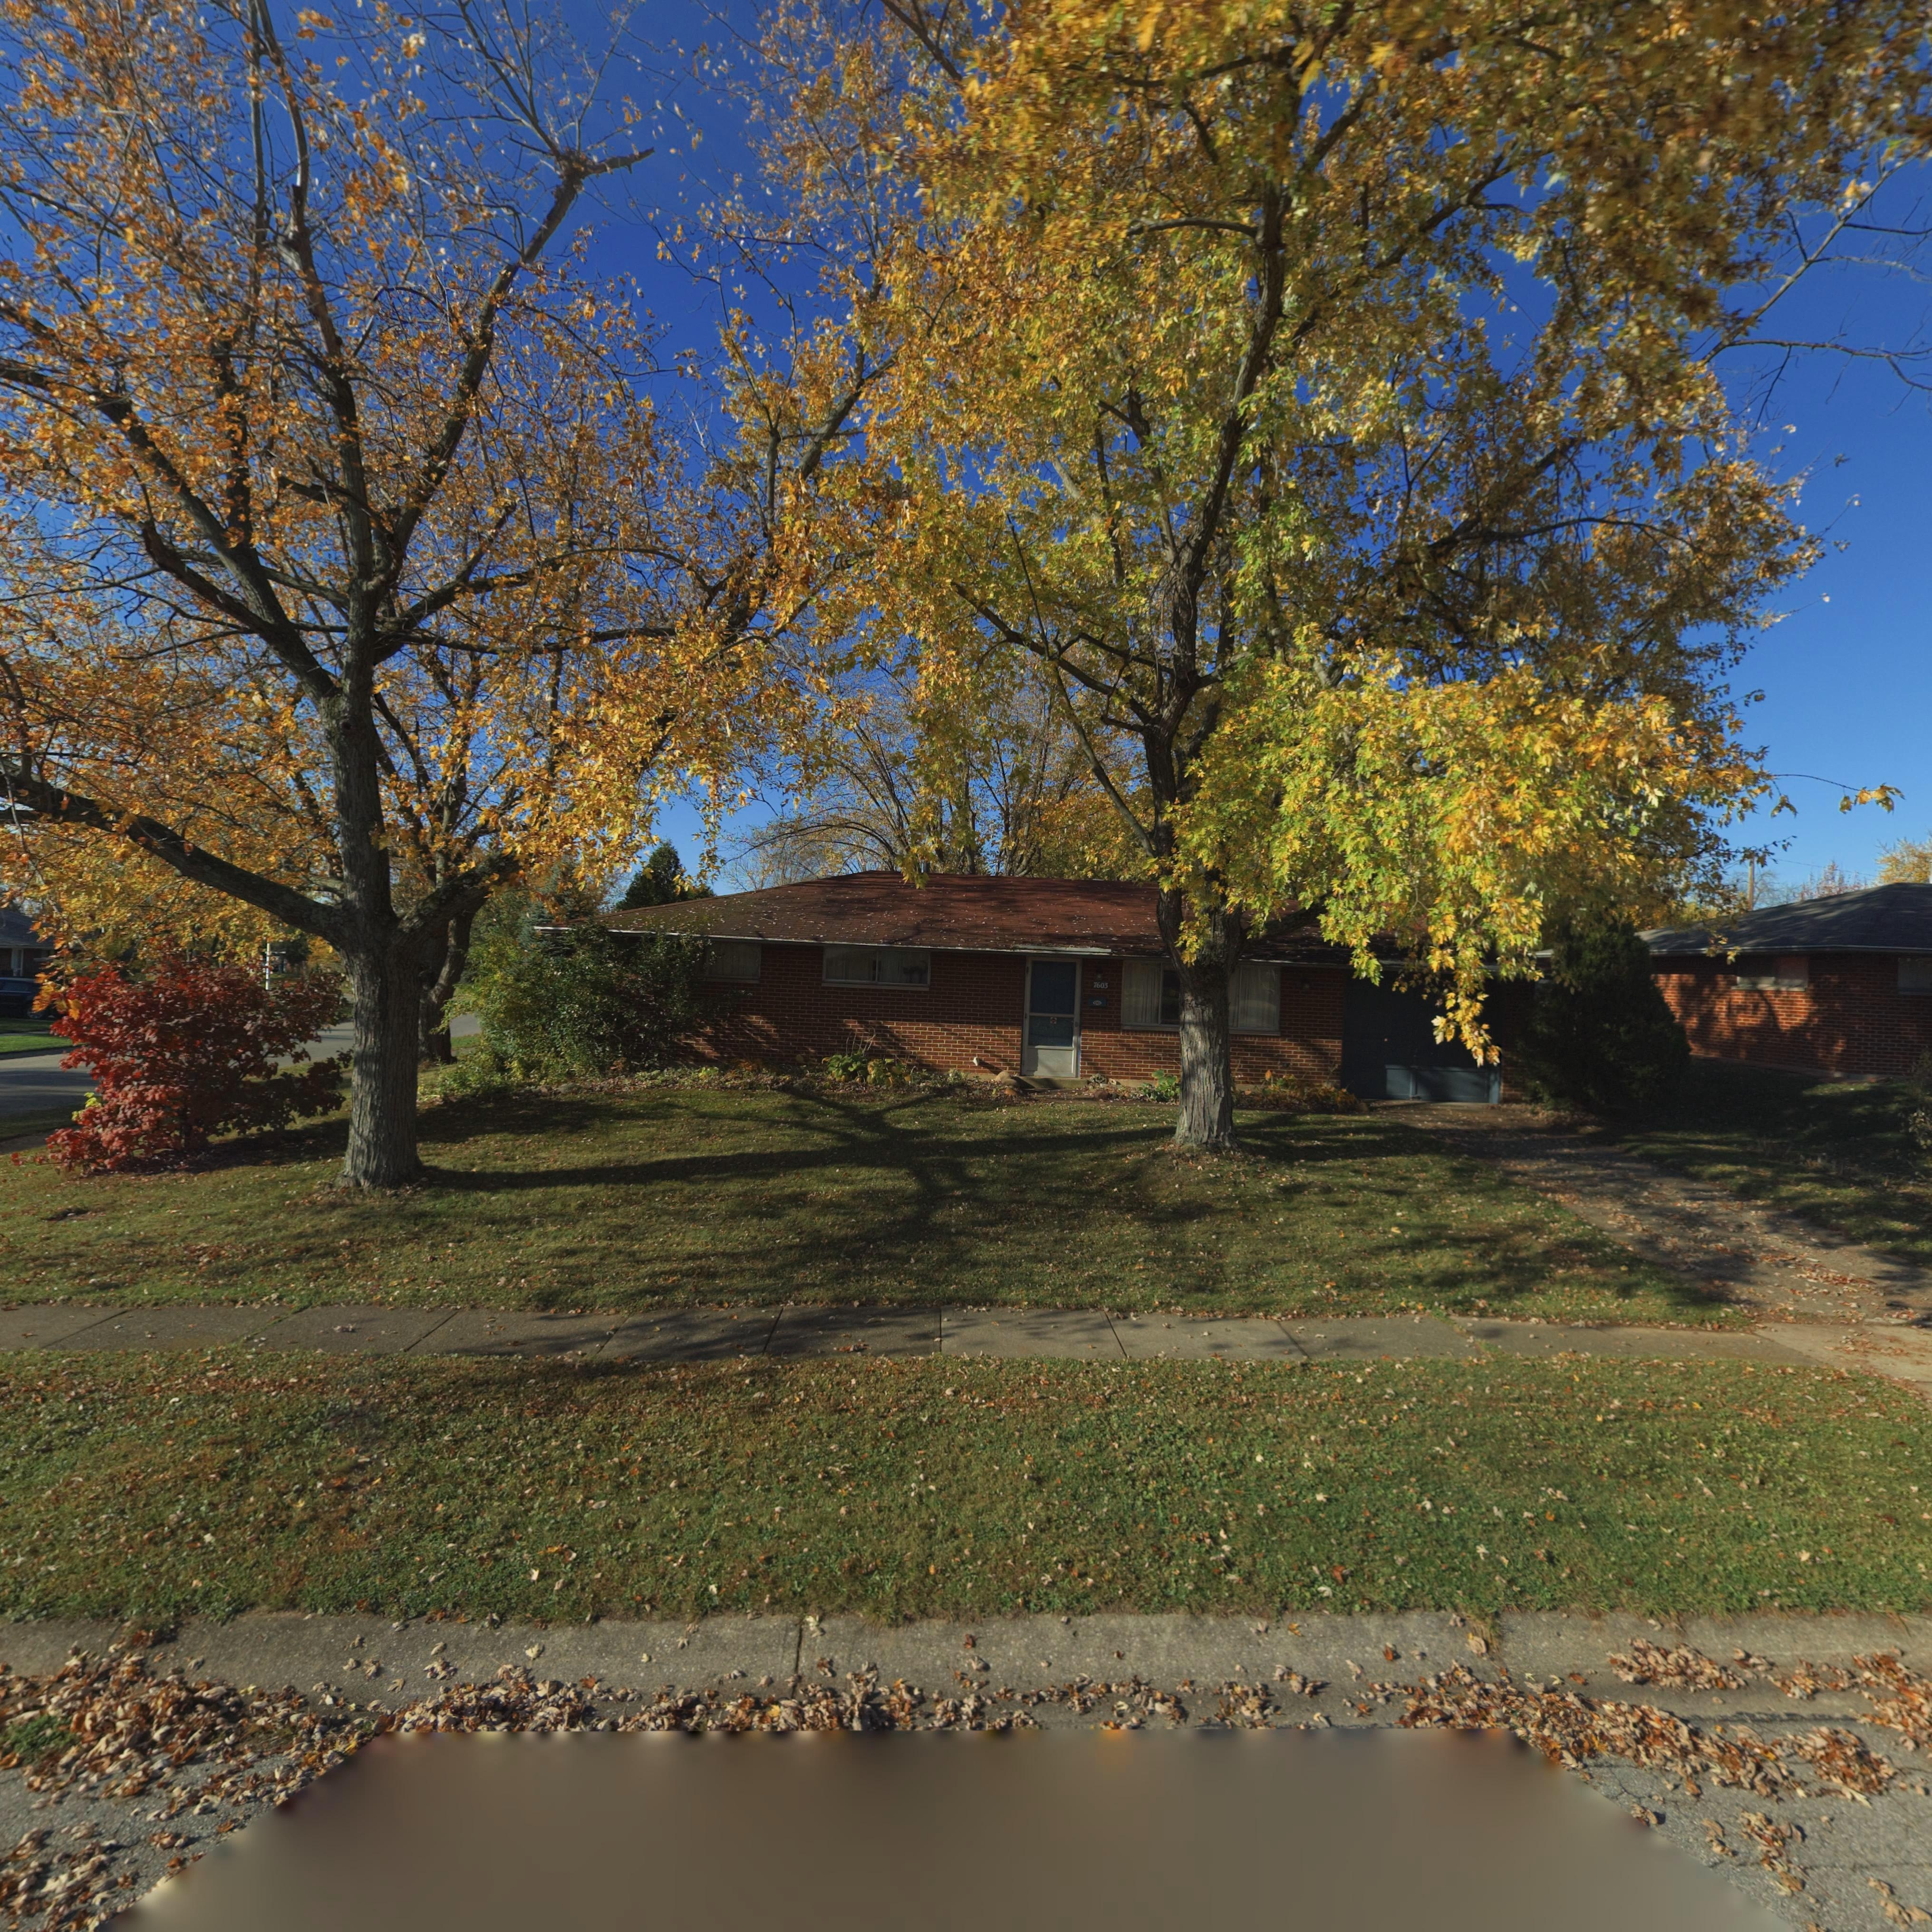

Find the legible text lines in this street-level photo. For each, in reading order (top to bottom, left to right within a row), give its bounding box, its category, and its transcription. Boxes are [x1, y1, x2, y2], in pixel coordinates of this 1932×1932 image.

[1092, 981, 1110, 990] StreetNumber: 7603